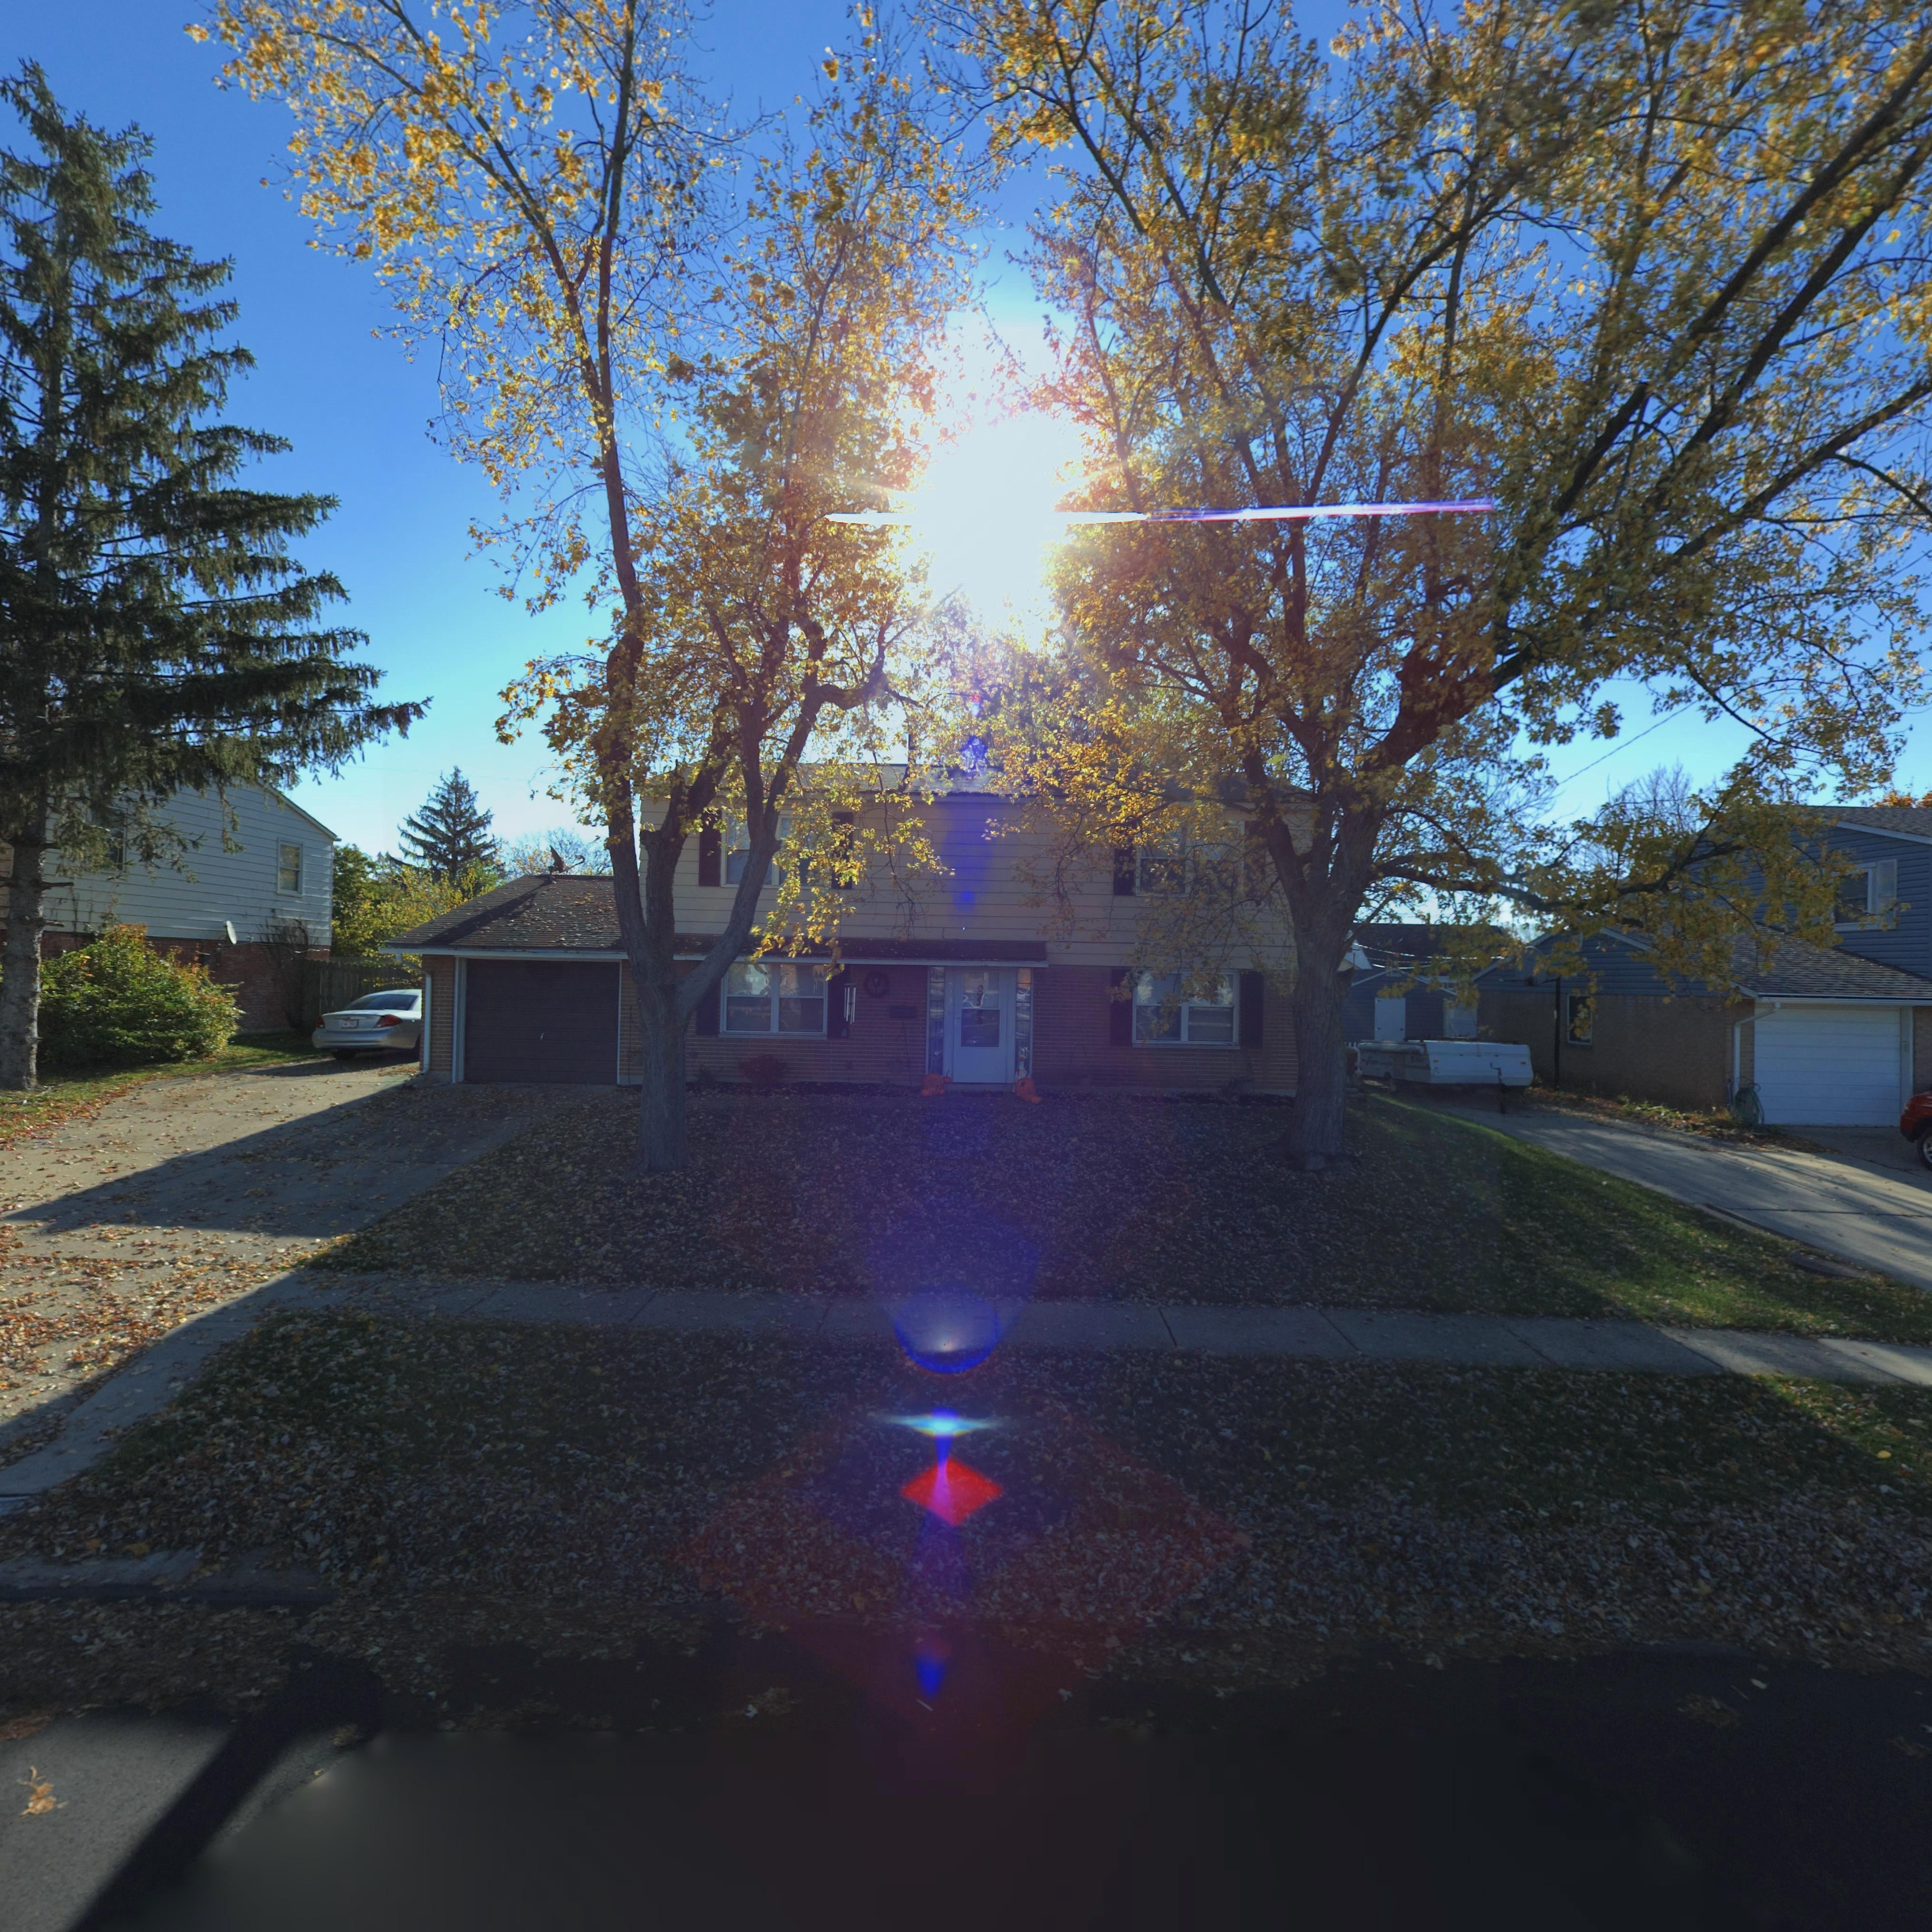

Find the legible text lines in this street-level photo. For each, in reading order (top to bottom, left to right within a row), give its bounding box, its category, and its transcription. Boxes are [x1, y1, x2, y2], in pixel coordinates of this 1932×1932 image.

[946, 981, 955, 1012] StreetNumber: 7*30